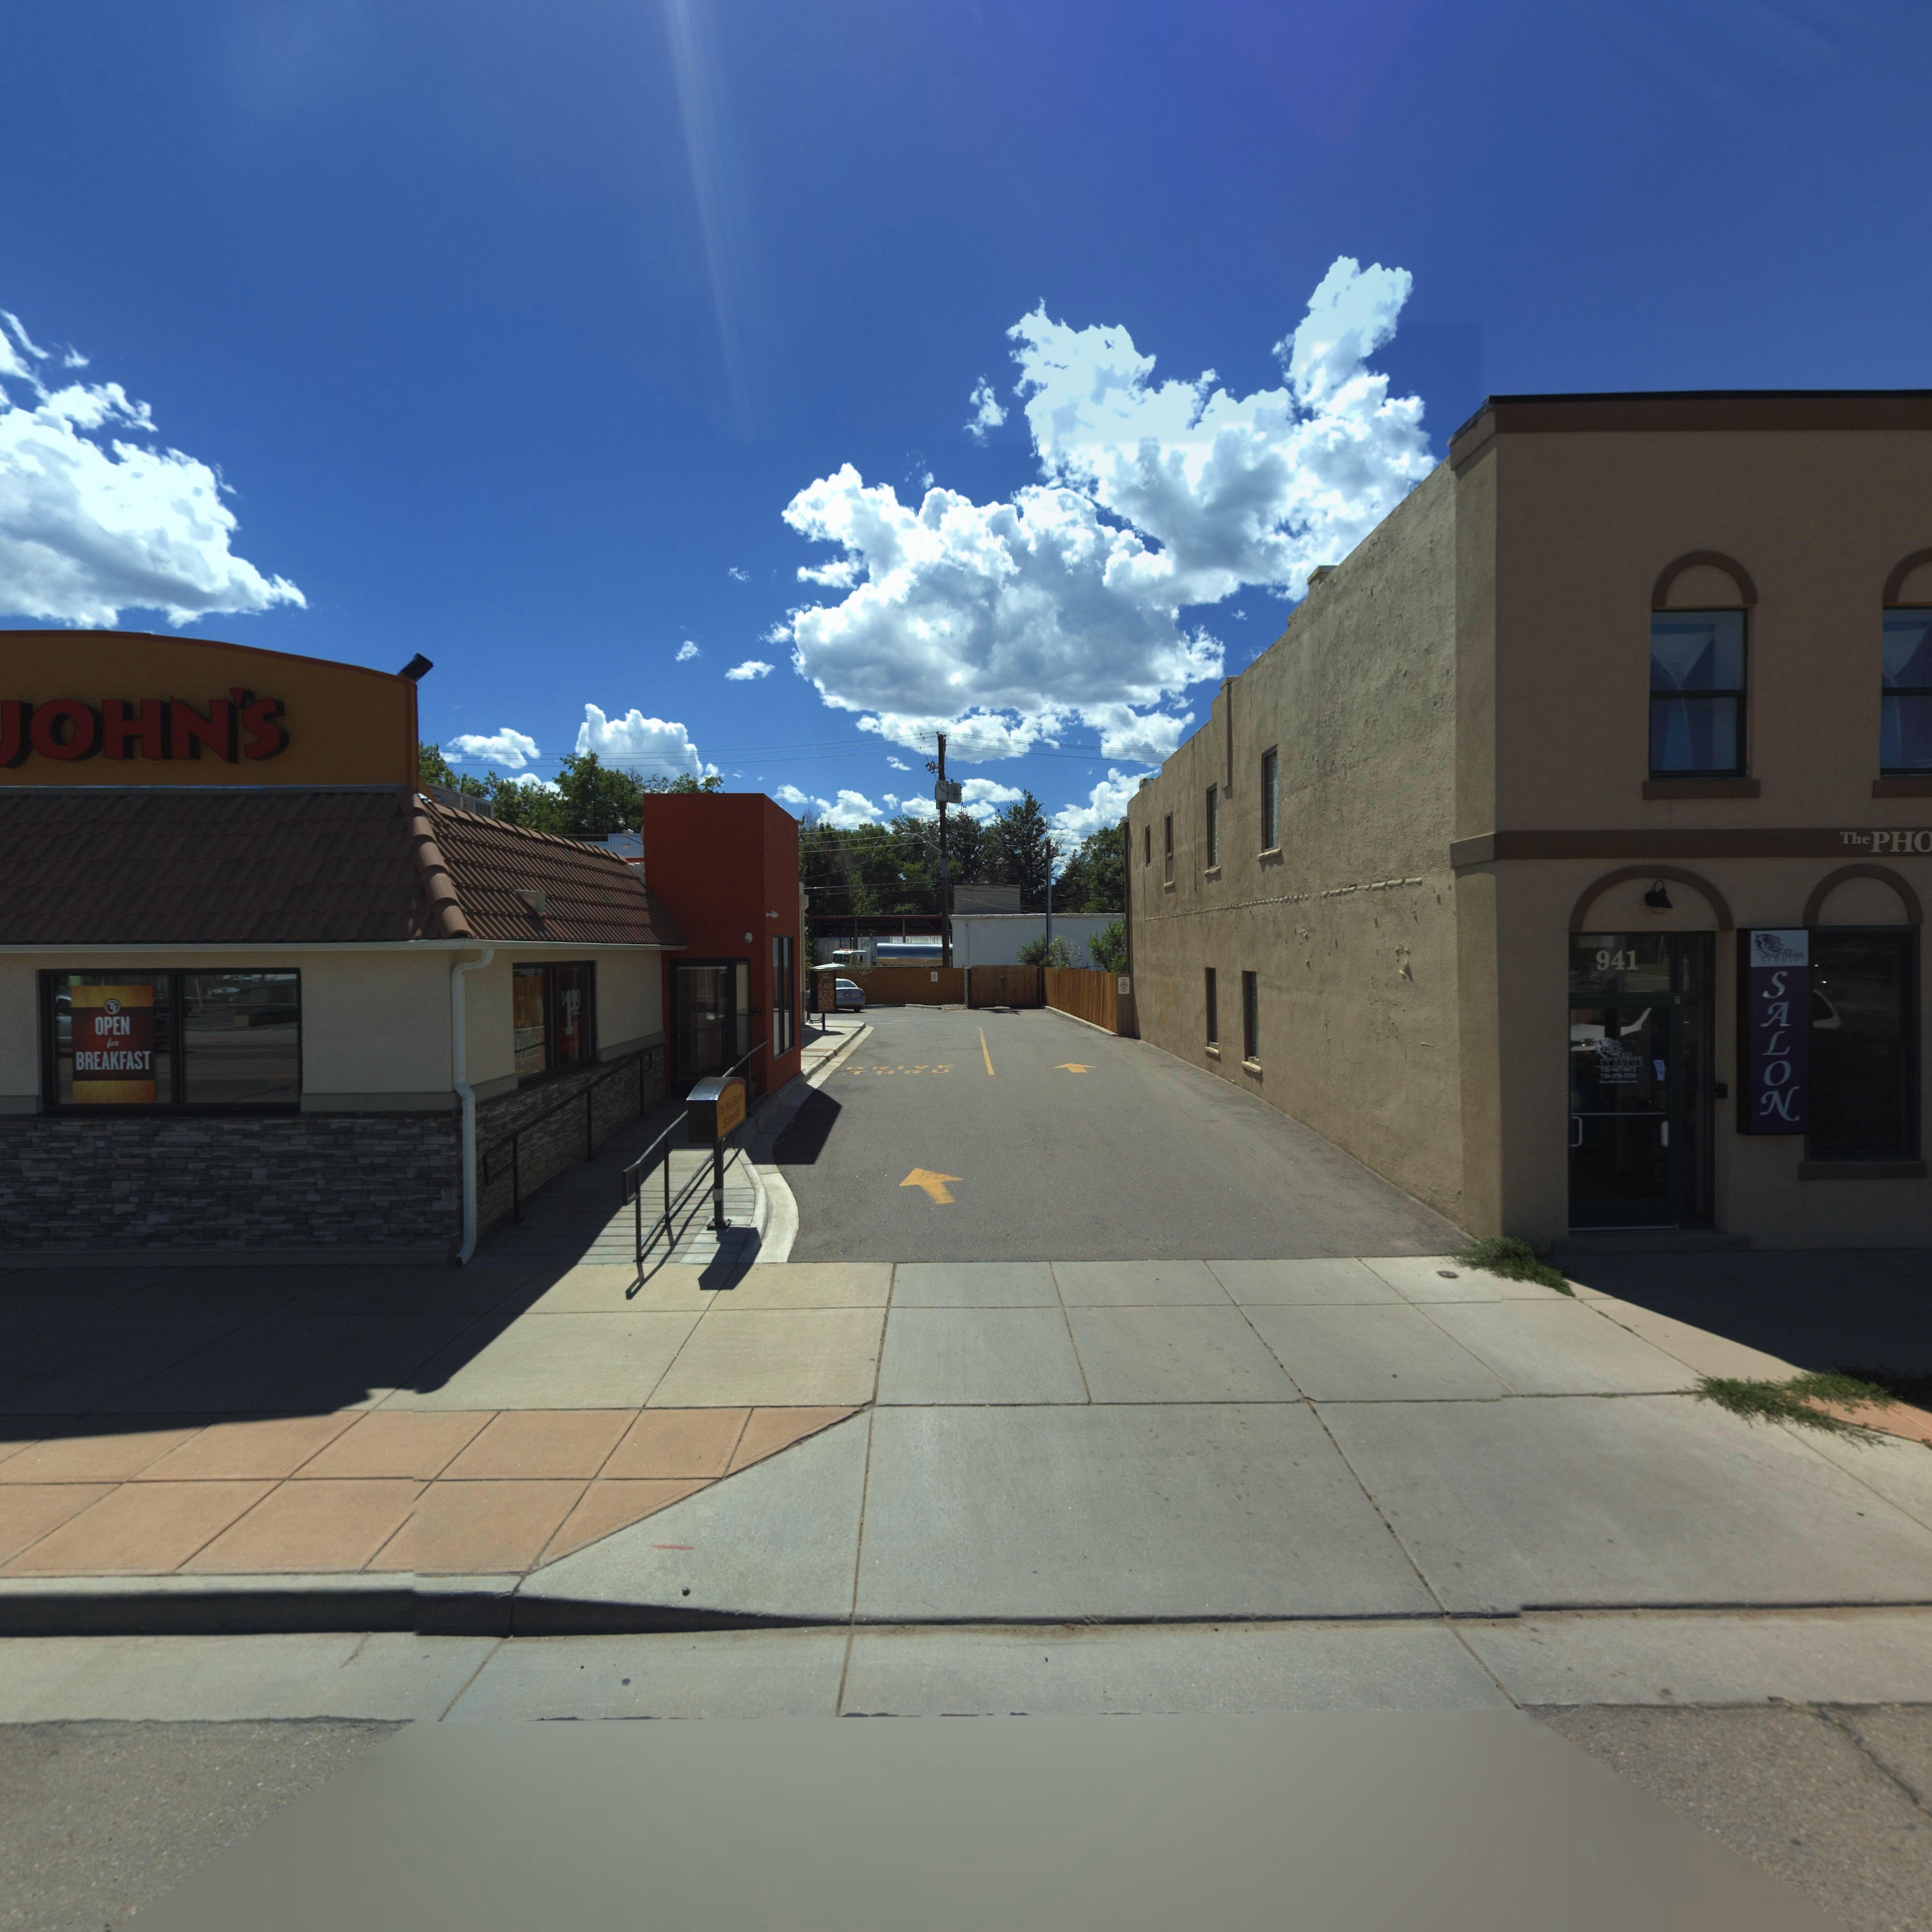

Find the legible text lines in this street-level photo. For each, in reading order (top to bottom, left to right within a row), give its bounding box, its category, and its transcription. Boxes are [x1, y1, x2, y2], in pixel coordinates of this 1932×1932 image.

[24, 684, 284, 764] BusinessName: OHN'S
[1839, 831, 1915, 852] BusinessName: ThePH
[1595, 950, 1639, 971] StreetNumber: 941
[1760, 947, 1804, 957] BusinessName: S**** Bliss
[1761, 956, 1806, 962] BusinessName: STUDIOS
[1599, 1050, 1643, 1062] BusinessName: She** Bliss
[1600, 1060, 1643, 1066] BusinessName: STUDIOS
[1758, 970, 1801, 1122] BusinessName: SALON